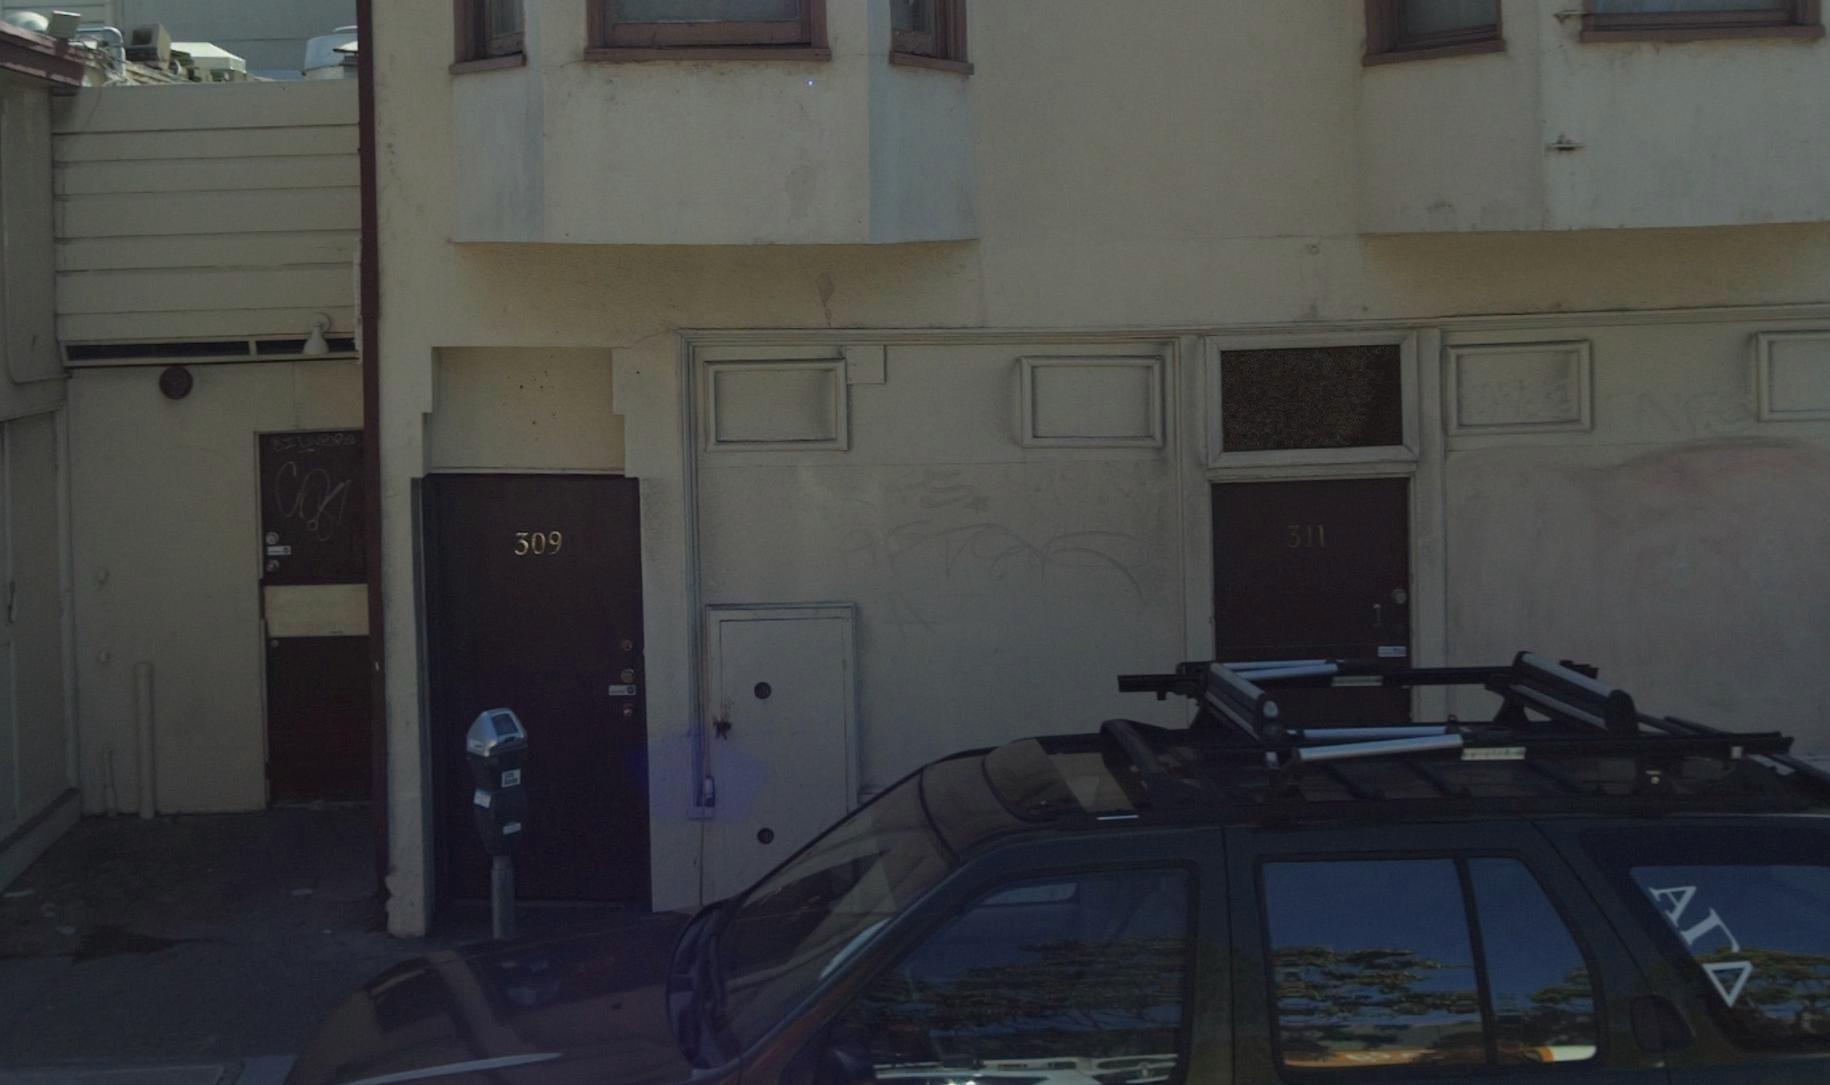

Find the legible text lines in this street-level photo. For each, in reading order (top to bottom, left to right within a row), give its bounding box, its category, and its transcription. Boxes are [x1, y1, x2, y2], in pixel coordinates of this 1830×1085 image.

[513, 530, 564, 557] StreetNumber: 309
[1285, 522, 1326, 550] StreetNumber: 311
[1640, 882, 1703, 933] None: A